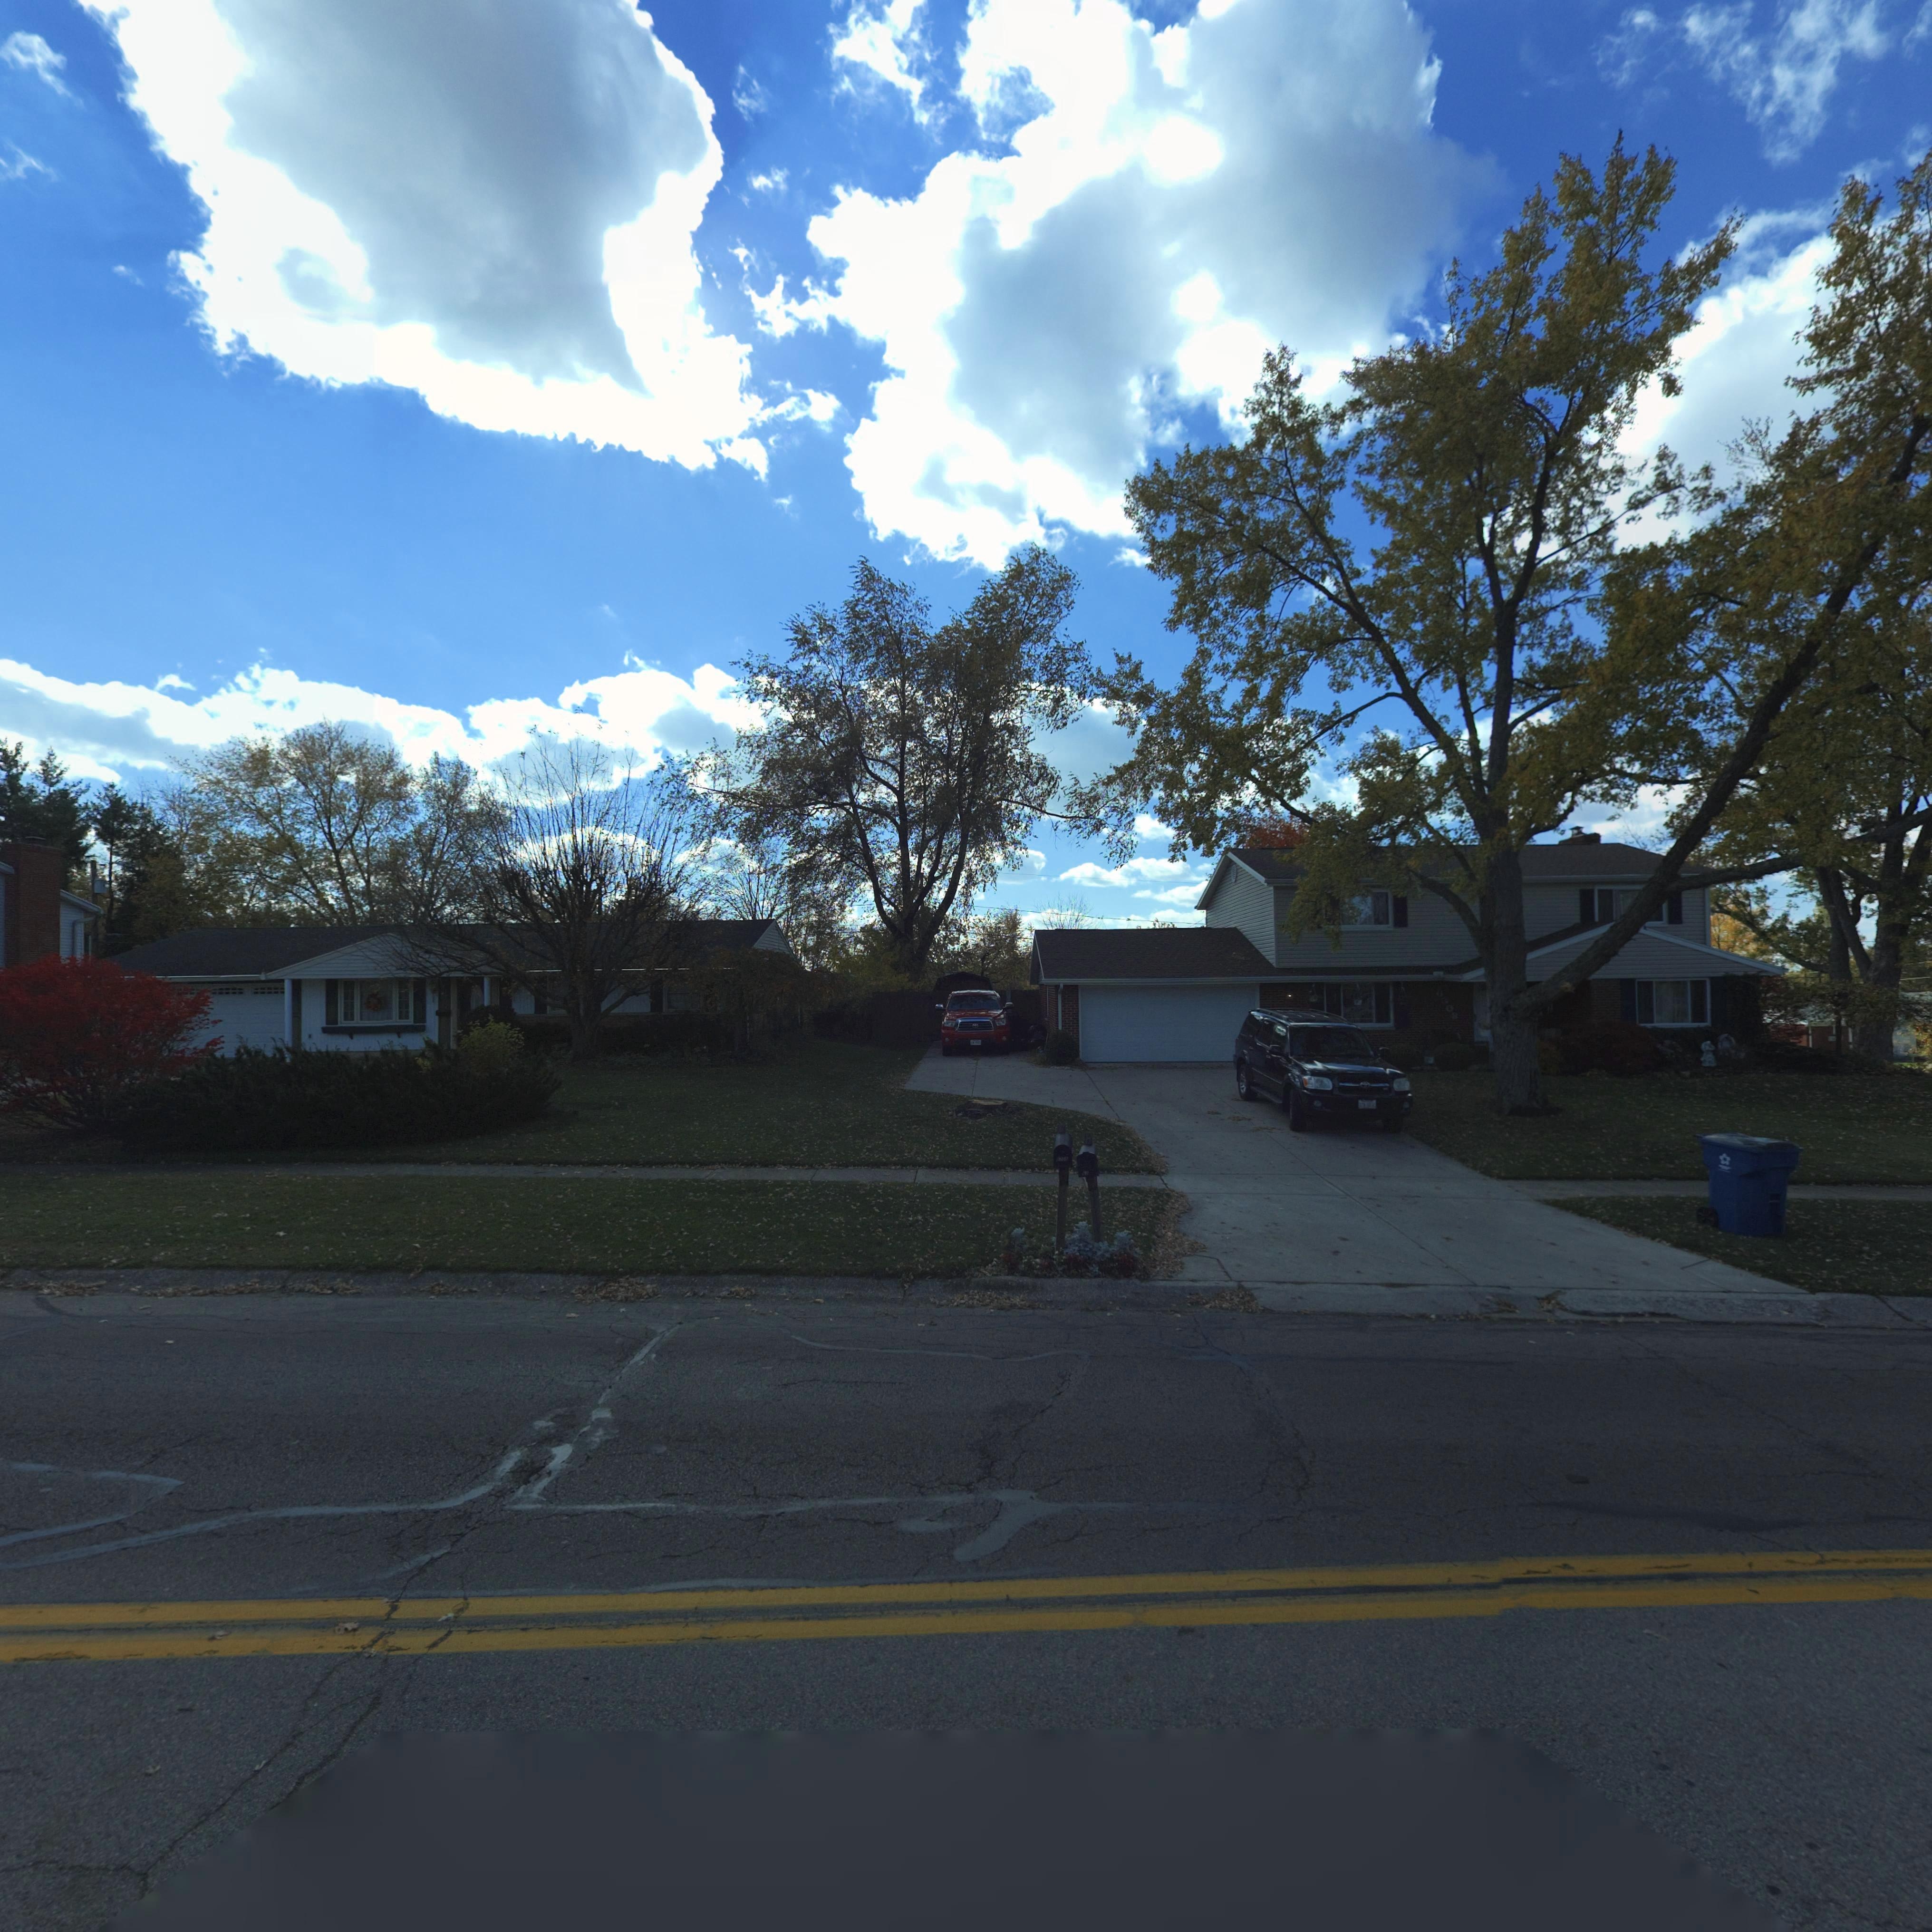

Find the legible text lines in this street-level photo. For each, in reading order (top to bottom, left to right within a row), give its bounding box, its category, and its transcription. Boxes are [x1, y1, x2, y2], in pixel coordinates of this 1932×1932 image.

[1435, 989, 1459, 1020] StreetNumber: 6308
[1059, 1156, 1065, 1161] StreetNumber: 30
[1082, 1170, 1089, 1175] StreetNumber: 63